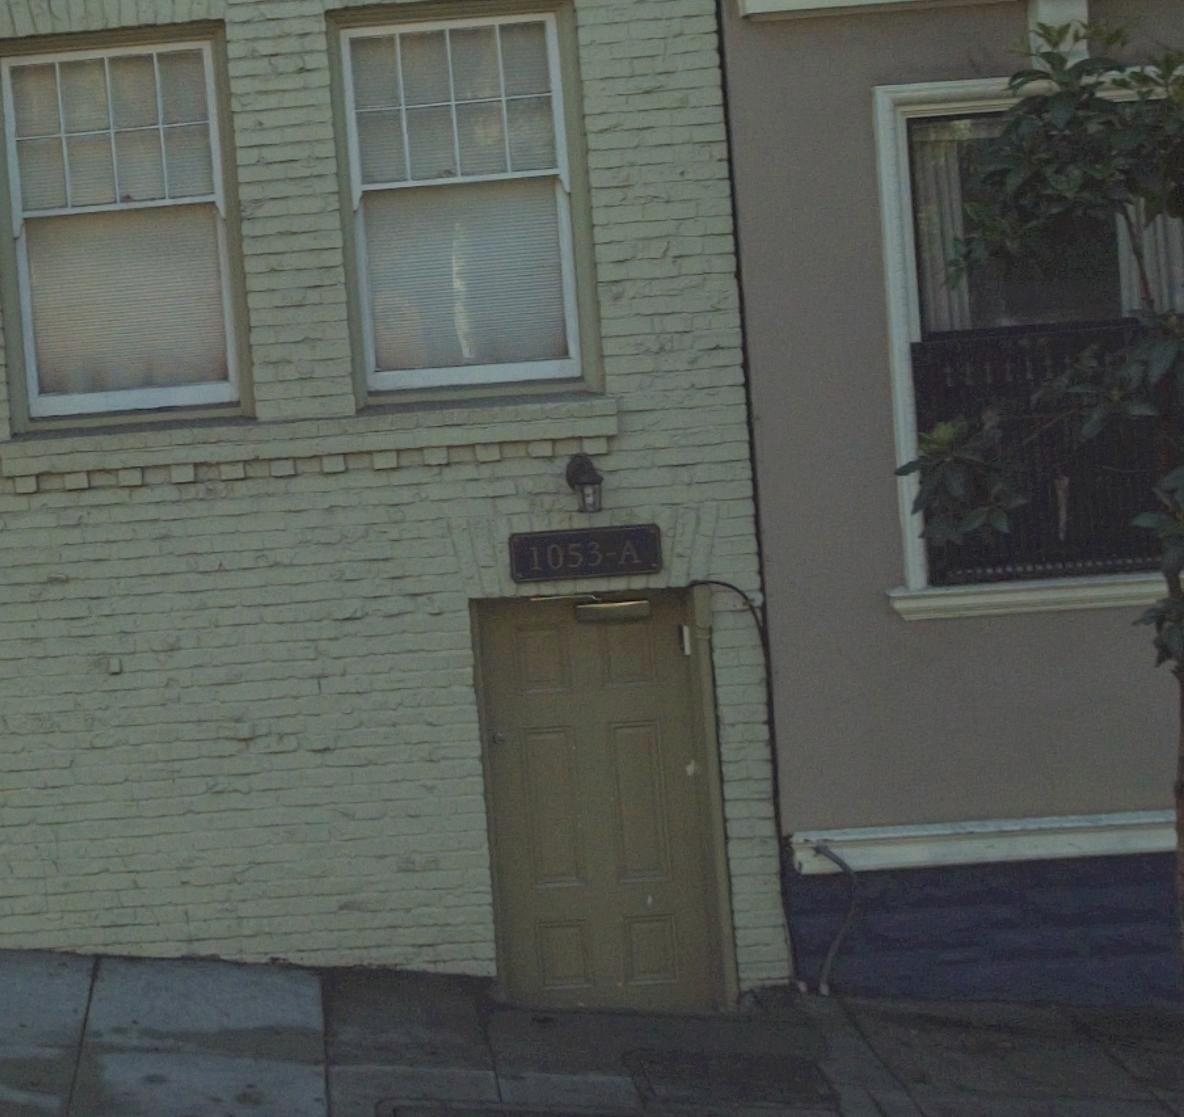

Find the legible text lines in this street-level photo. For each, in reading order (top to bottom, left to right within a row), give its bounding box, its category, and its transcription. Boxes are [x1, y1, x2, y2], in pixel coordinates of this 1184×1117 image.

[526, 536, 646, 574] StreetNumber: 1053-A